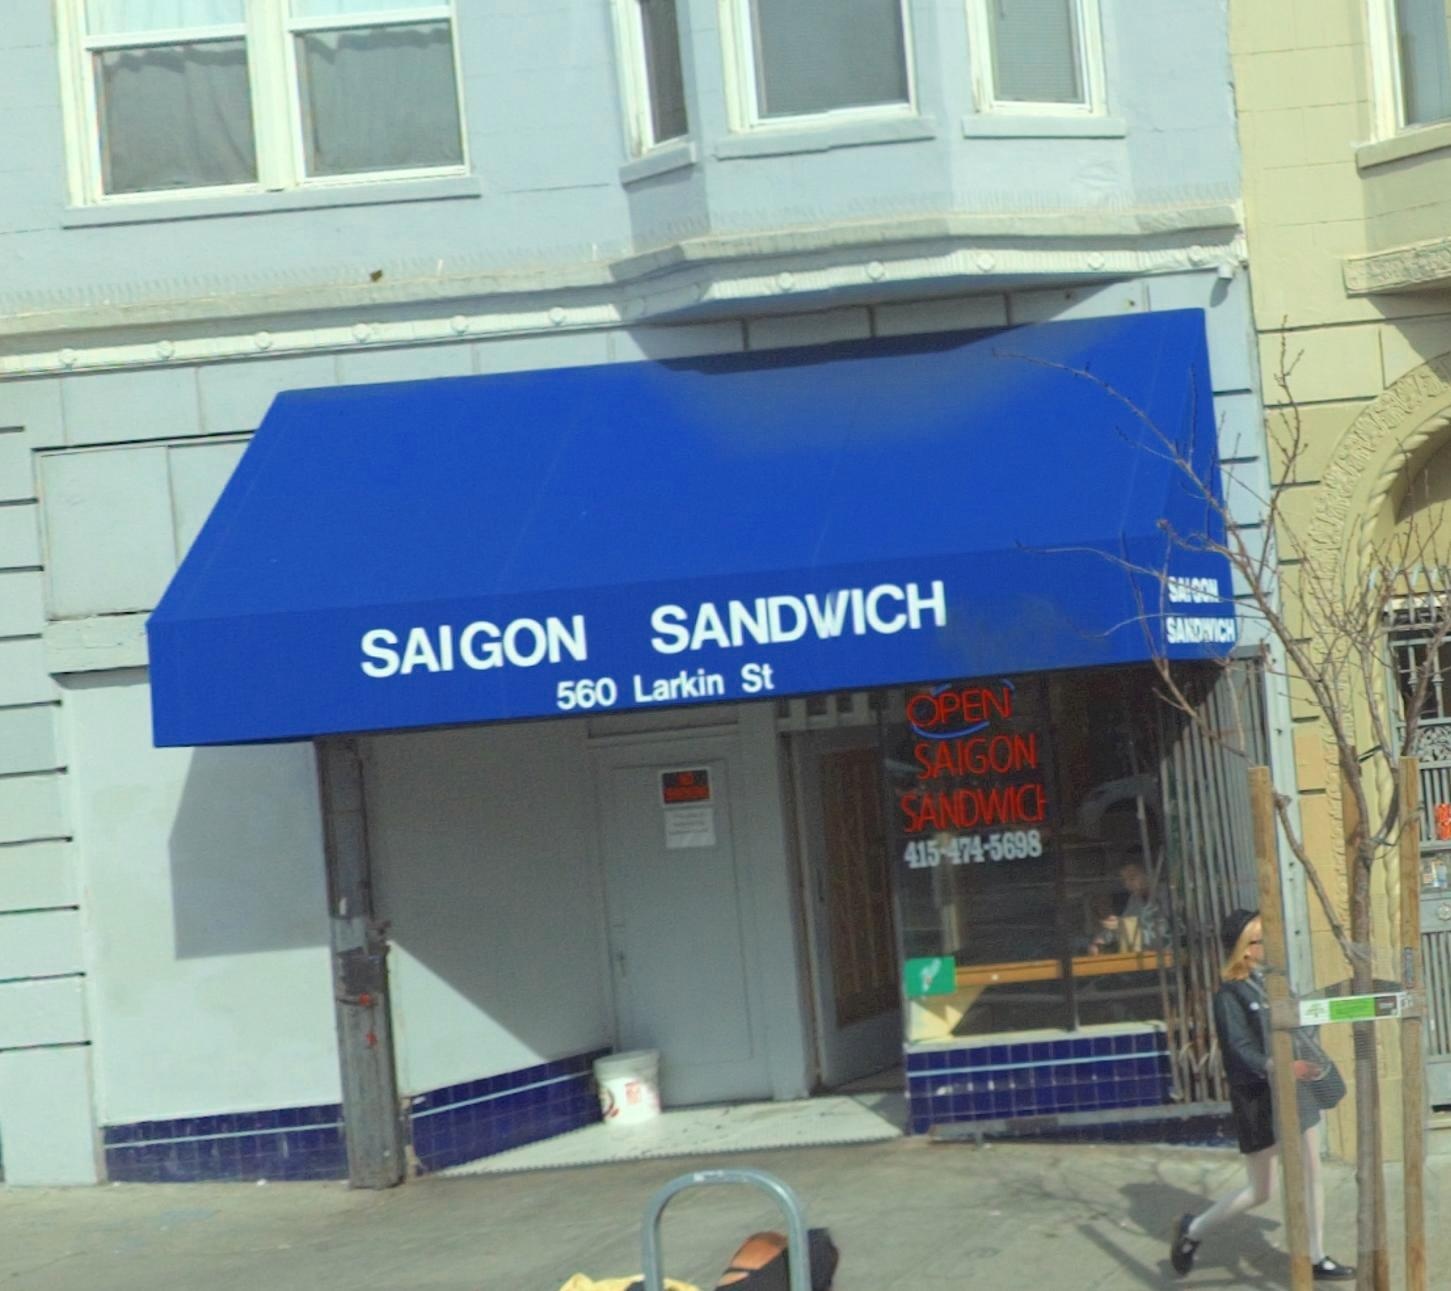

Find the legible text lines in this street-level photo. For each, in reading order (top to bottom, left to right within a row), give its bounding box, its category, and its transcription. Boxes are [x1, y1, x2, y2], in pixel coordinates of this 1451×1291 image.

[357, 574, 952, 688] BusinessName: SAIGON SAND*ICH
[1163, 614, 1239, 647] BusinessName: SANDWICH
[553, 673, 622, 714] StreetNumber: 560
[630, 658, 780, 707] StreetName: Larkin St
[903, 683, 1015, 730] None: OPEN
[912, 729, 1040, 784] BusinessName: SAIGON
[898, 780, 1041, 836] BusinessName: SANDWIC
[898, 825, 1048, 873] None: 415-474-5698